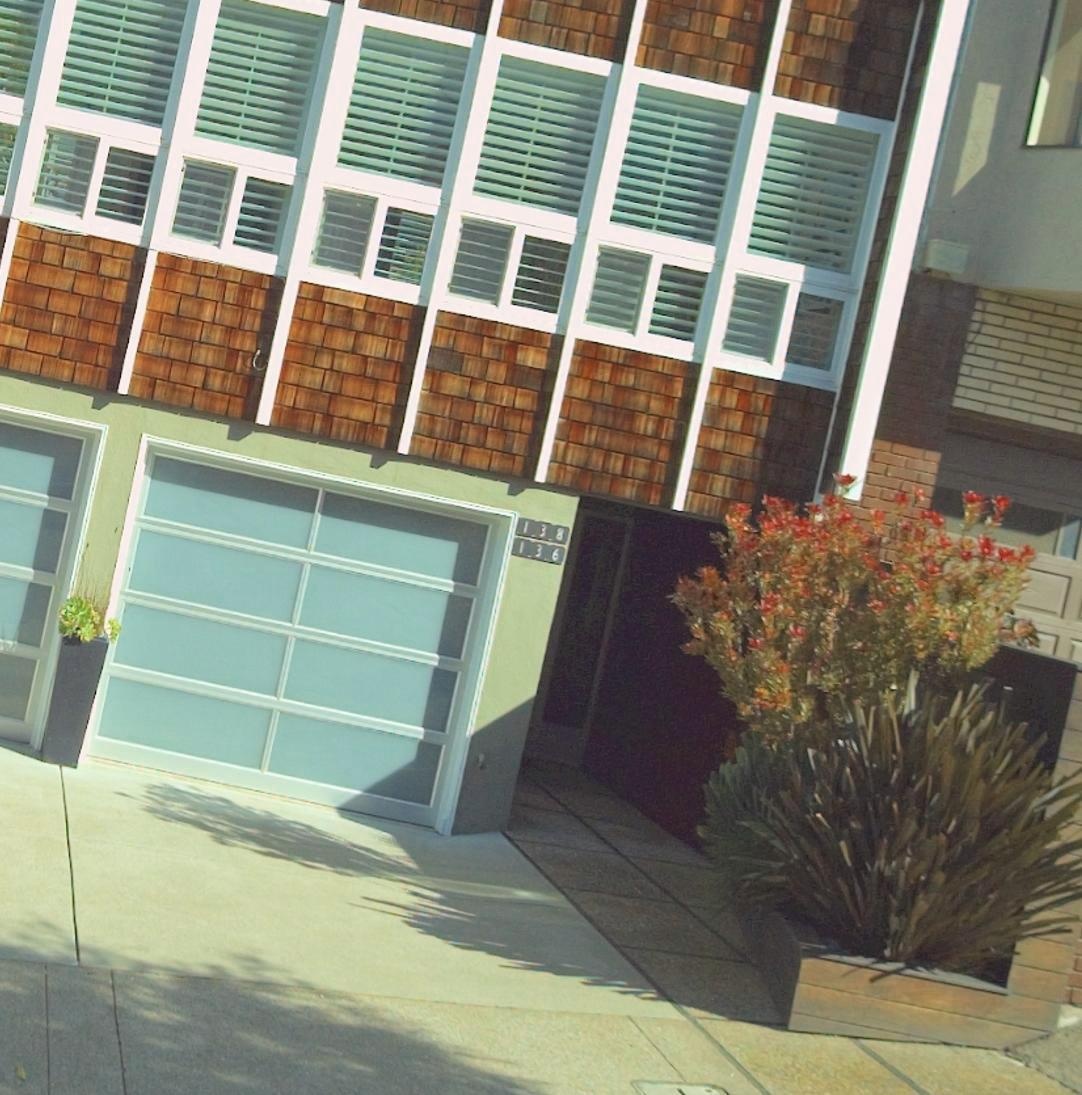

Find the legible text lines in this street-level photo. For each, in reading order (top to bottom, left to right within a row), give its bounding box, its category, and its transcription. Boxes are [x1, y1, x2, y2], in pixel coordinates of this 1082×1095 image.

[520, 518, 566, 543] StreetNumber: 138
[516, 539, 562, 564] StreetNumber: 136